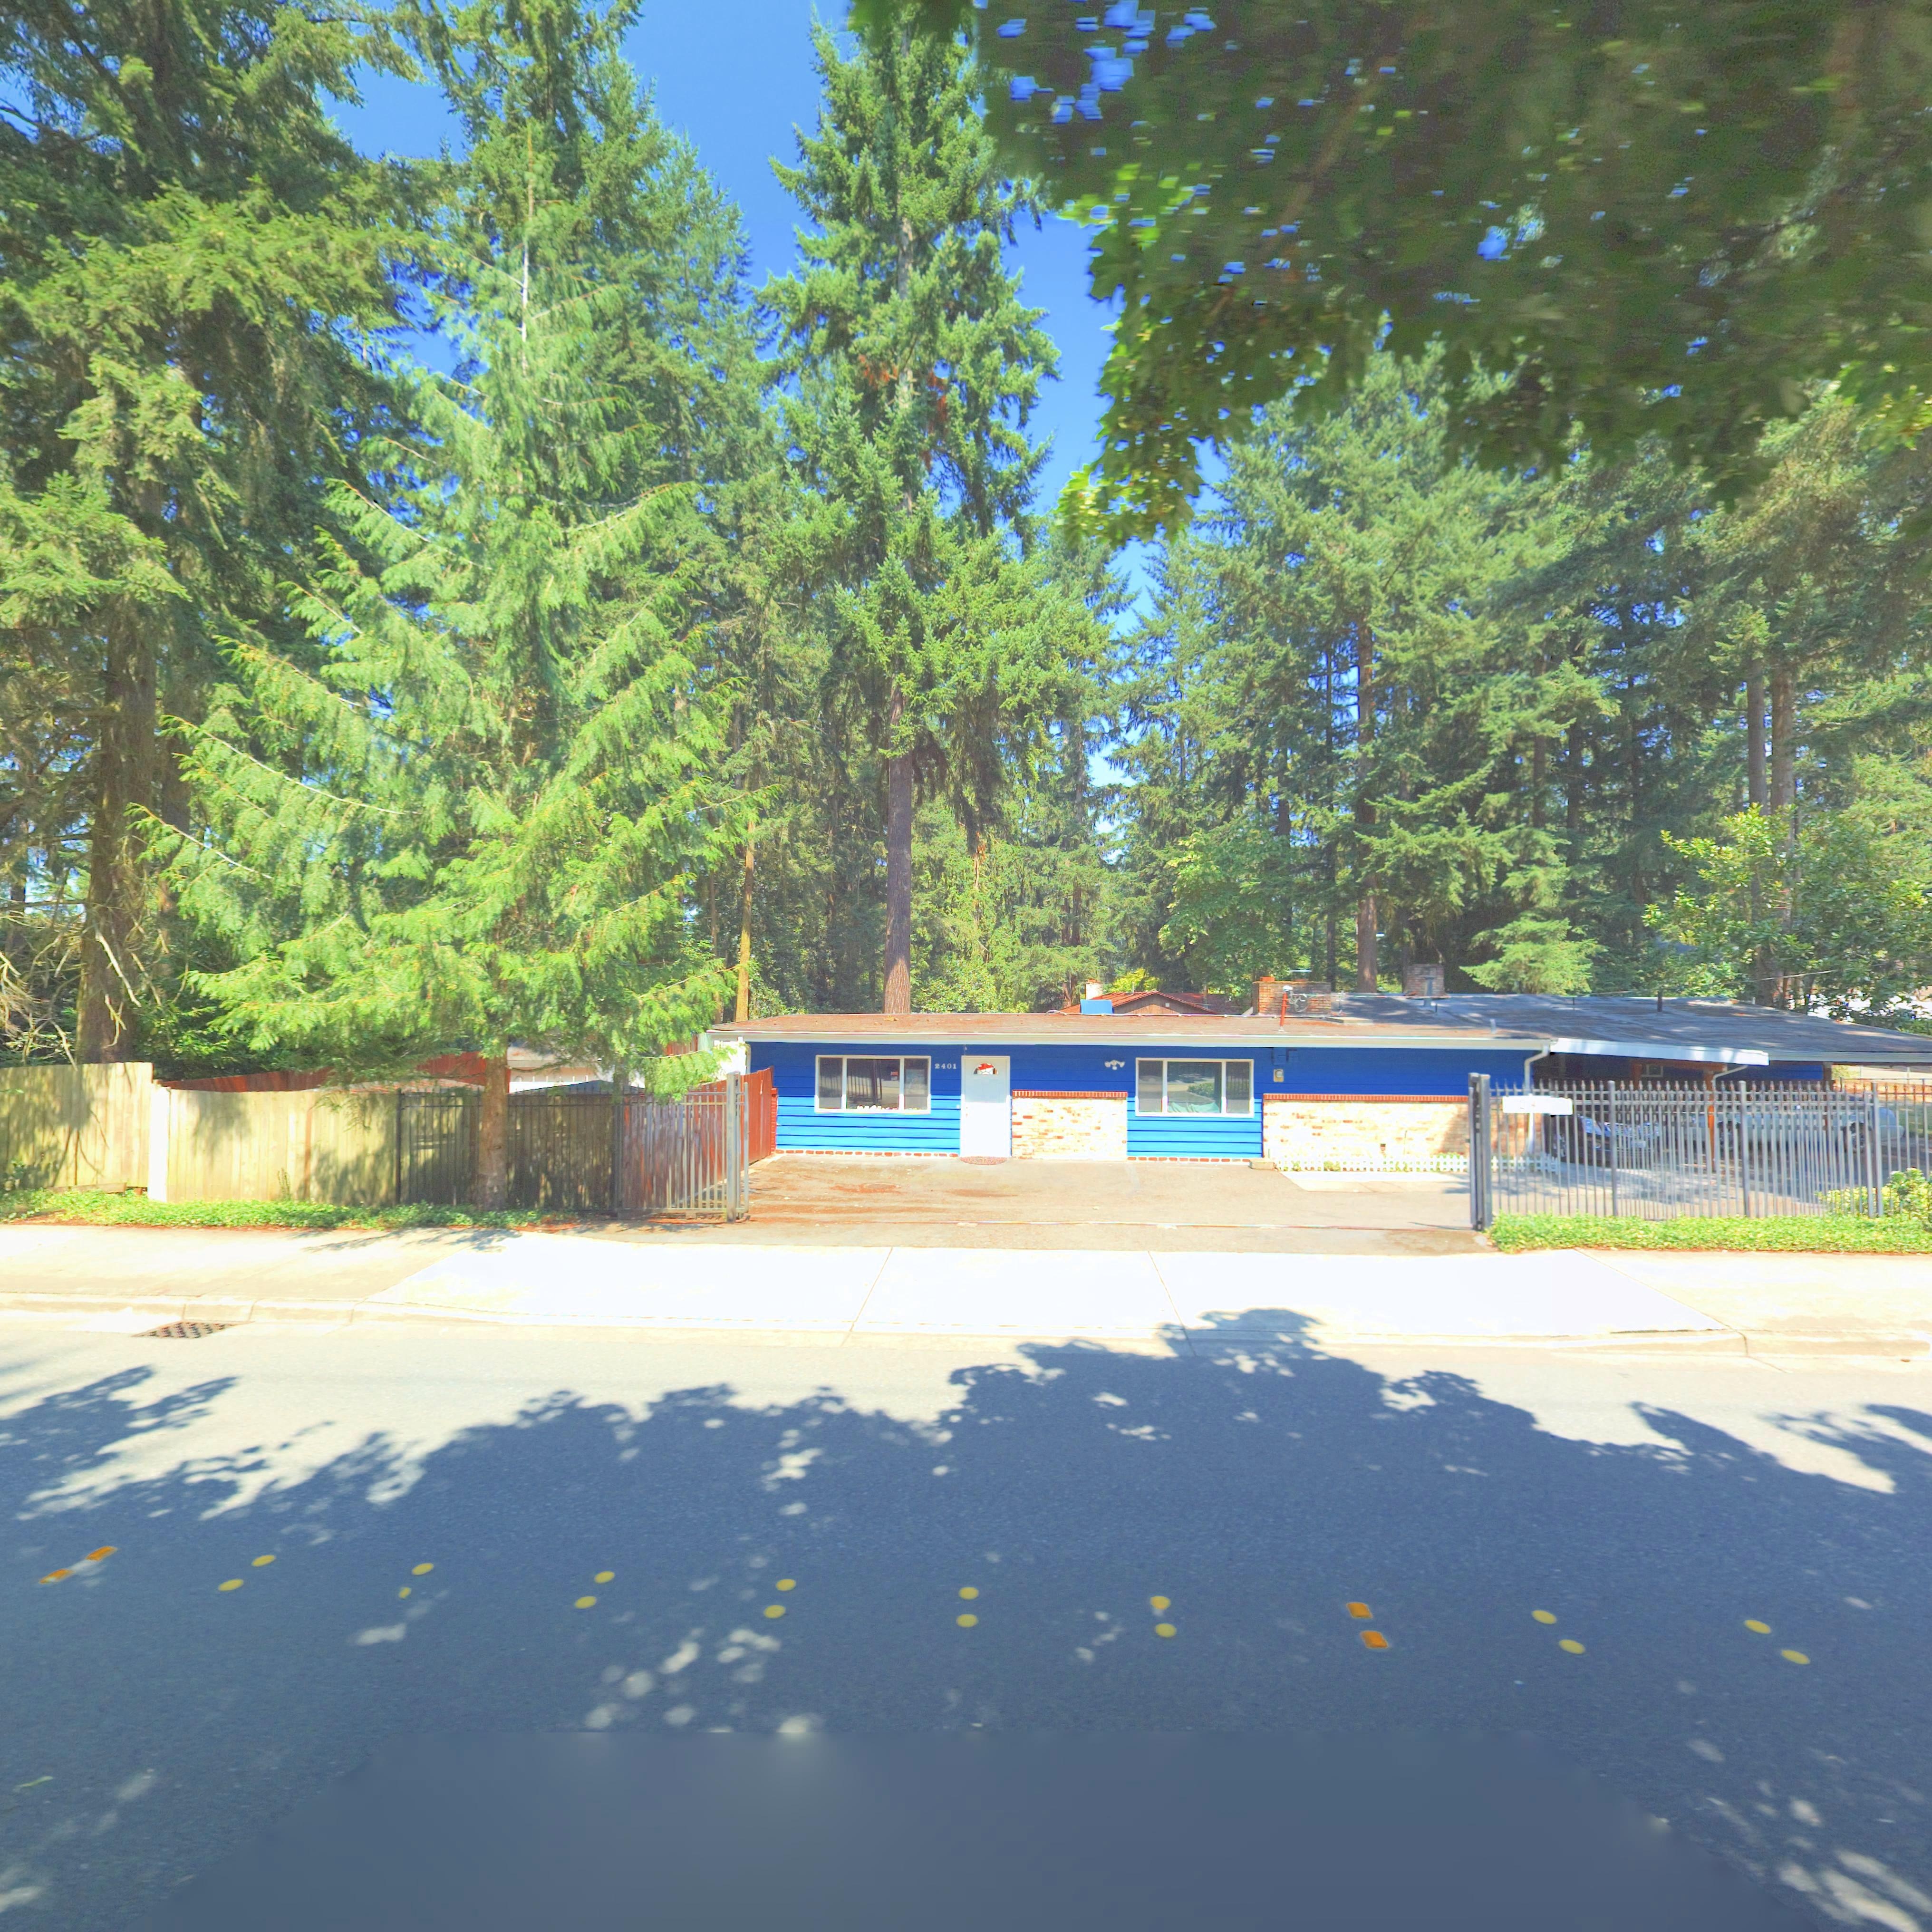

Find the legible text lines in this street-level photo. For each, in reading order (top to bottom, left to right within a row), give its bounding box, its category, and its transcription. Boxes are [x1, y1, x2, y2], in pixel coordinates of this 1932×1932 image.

[935, 1063, 956, 1068] StreetNumber: 2401